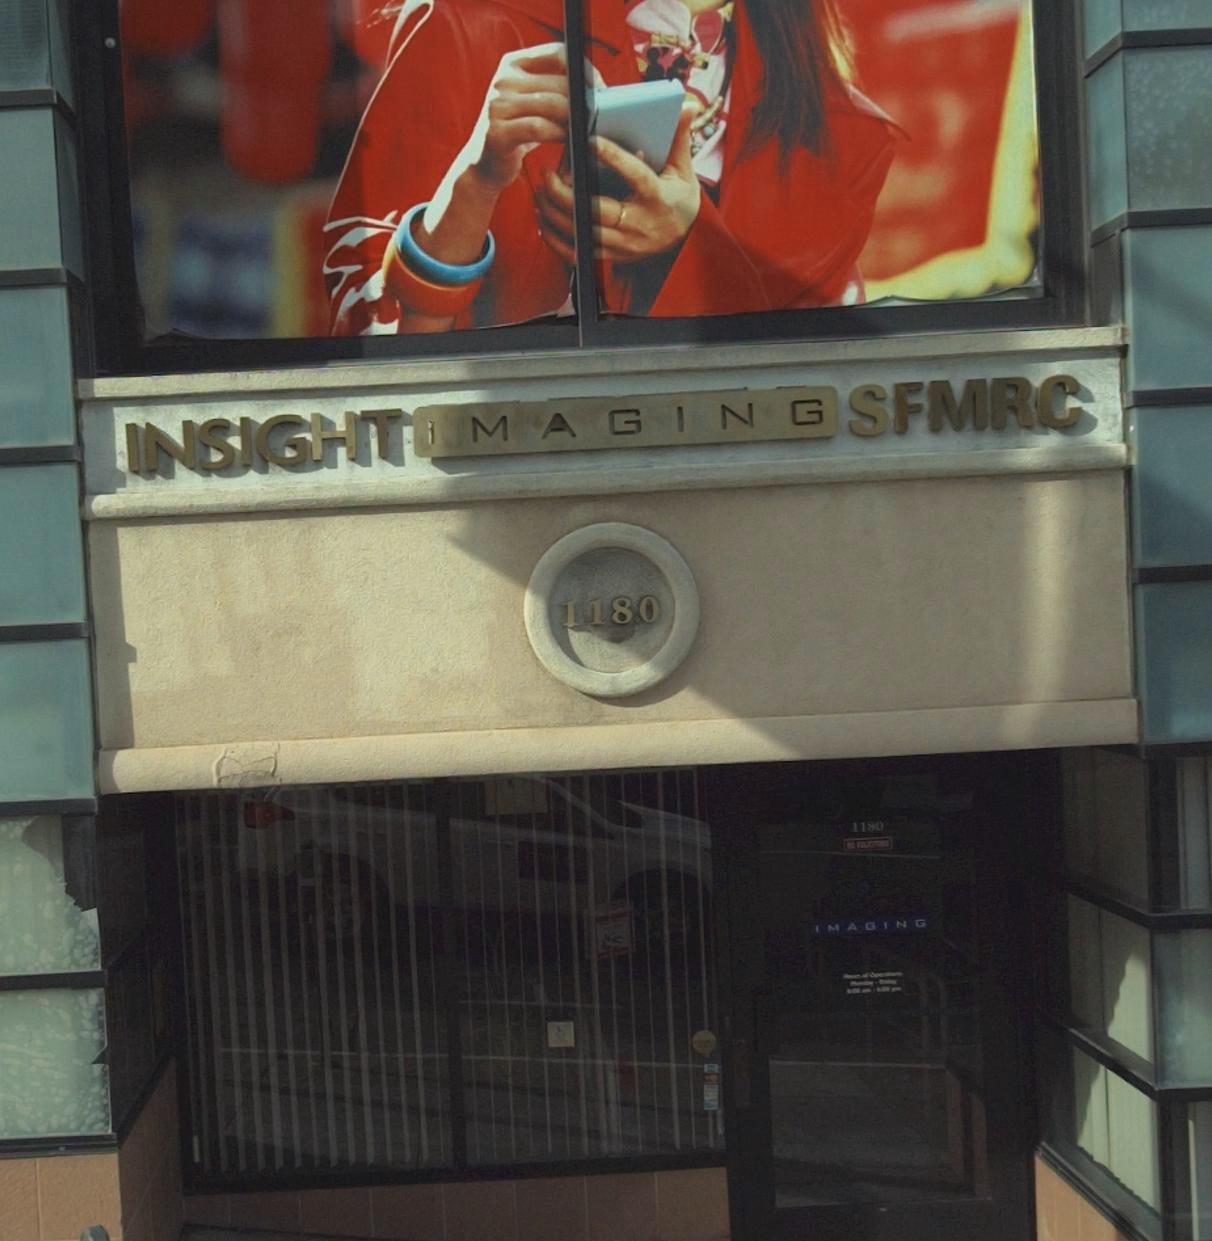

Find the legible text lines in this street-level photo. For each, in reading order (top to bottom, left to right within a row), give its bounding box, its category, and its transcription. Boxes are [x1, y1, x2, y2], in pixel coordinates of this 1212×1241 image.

[115, 365, 1095, 483] BusinessName: INSIGHT IMAGING SFMRC
[558, 592, 662, 631] StreetNumber: 1180
[850, 818, 888, 835] BusinessName: 1180
[812, 915, 929, 937] BusinessName: IMAGING